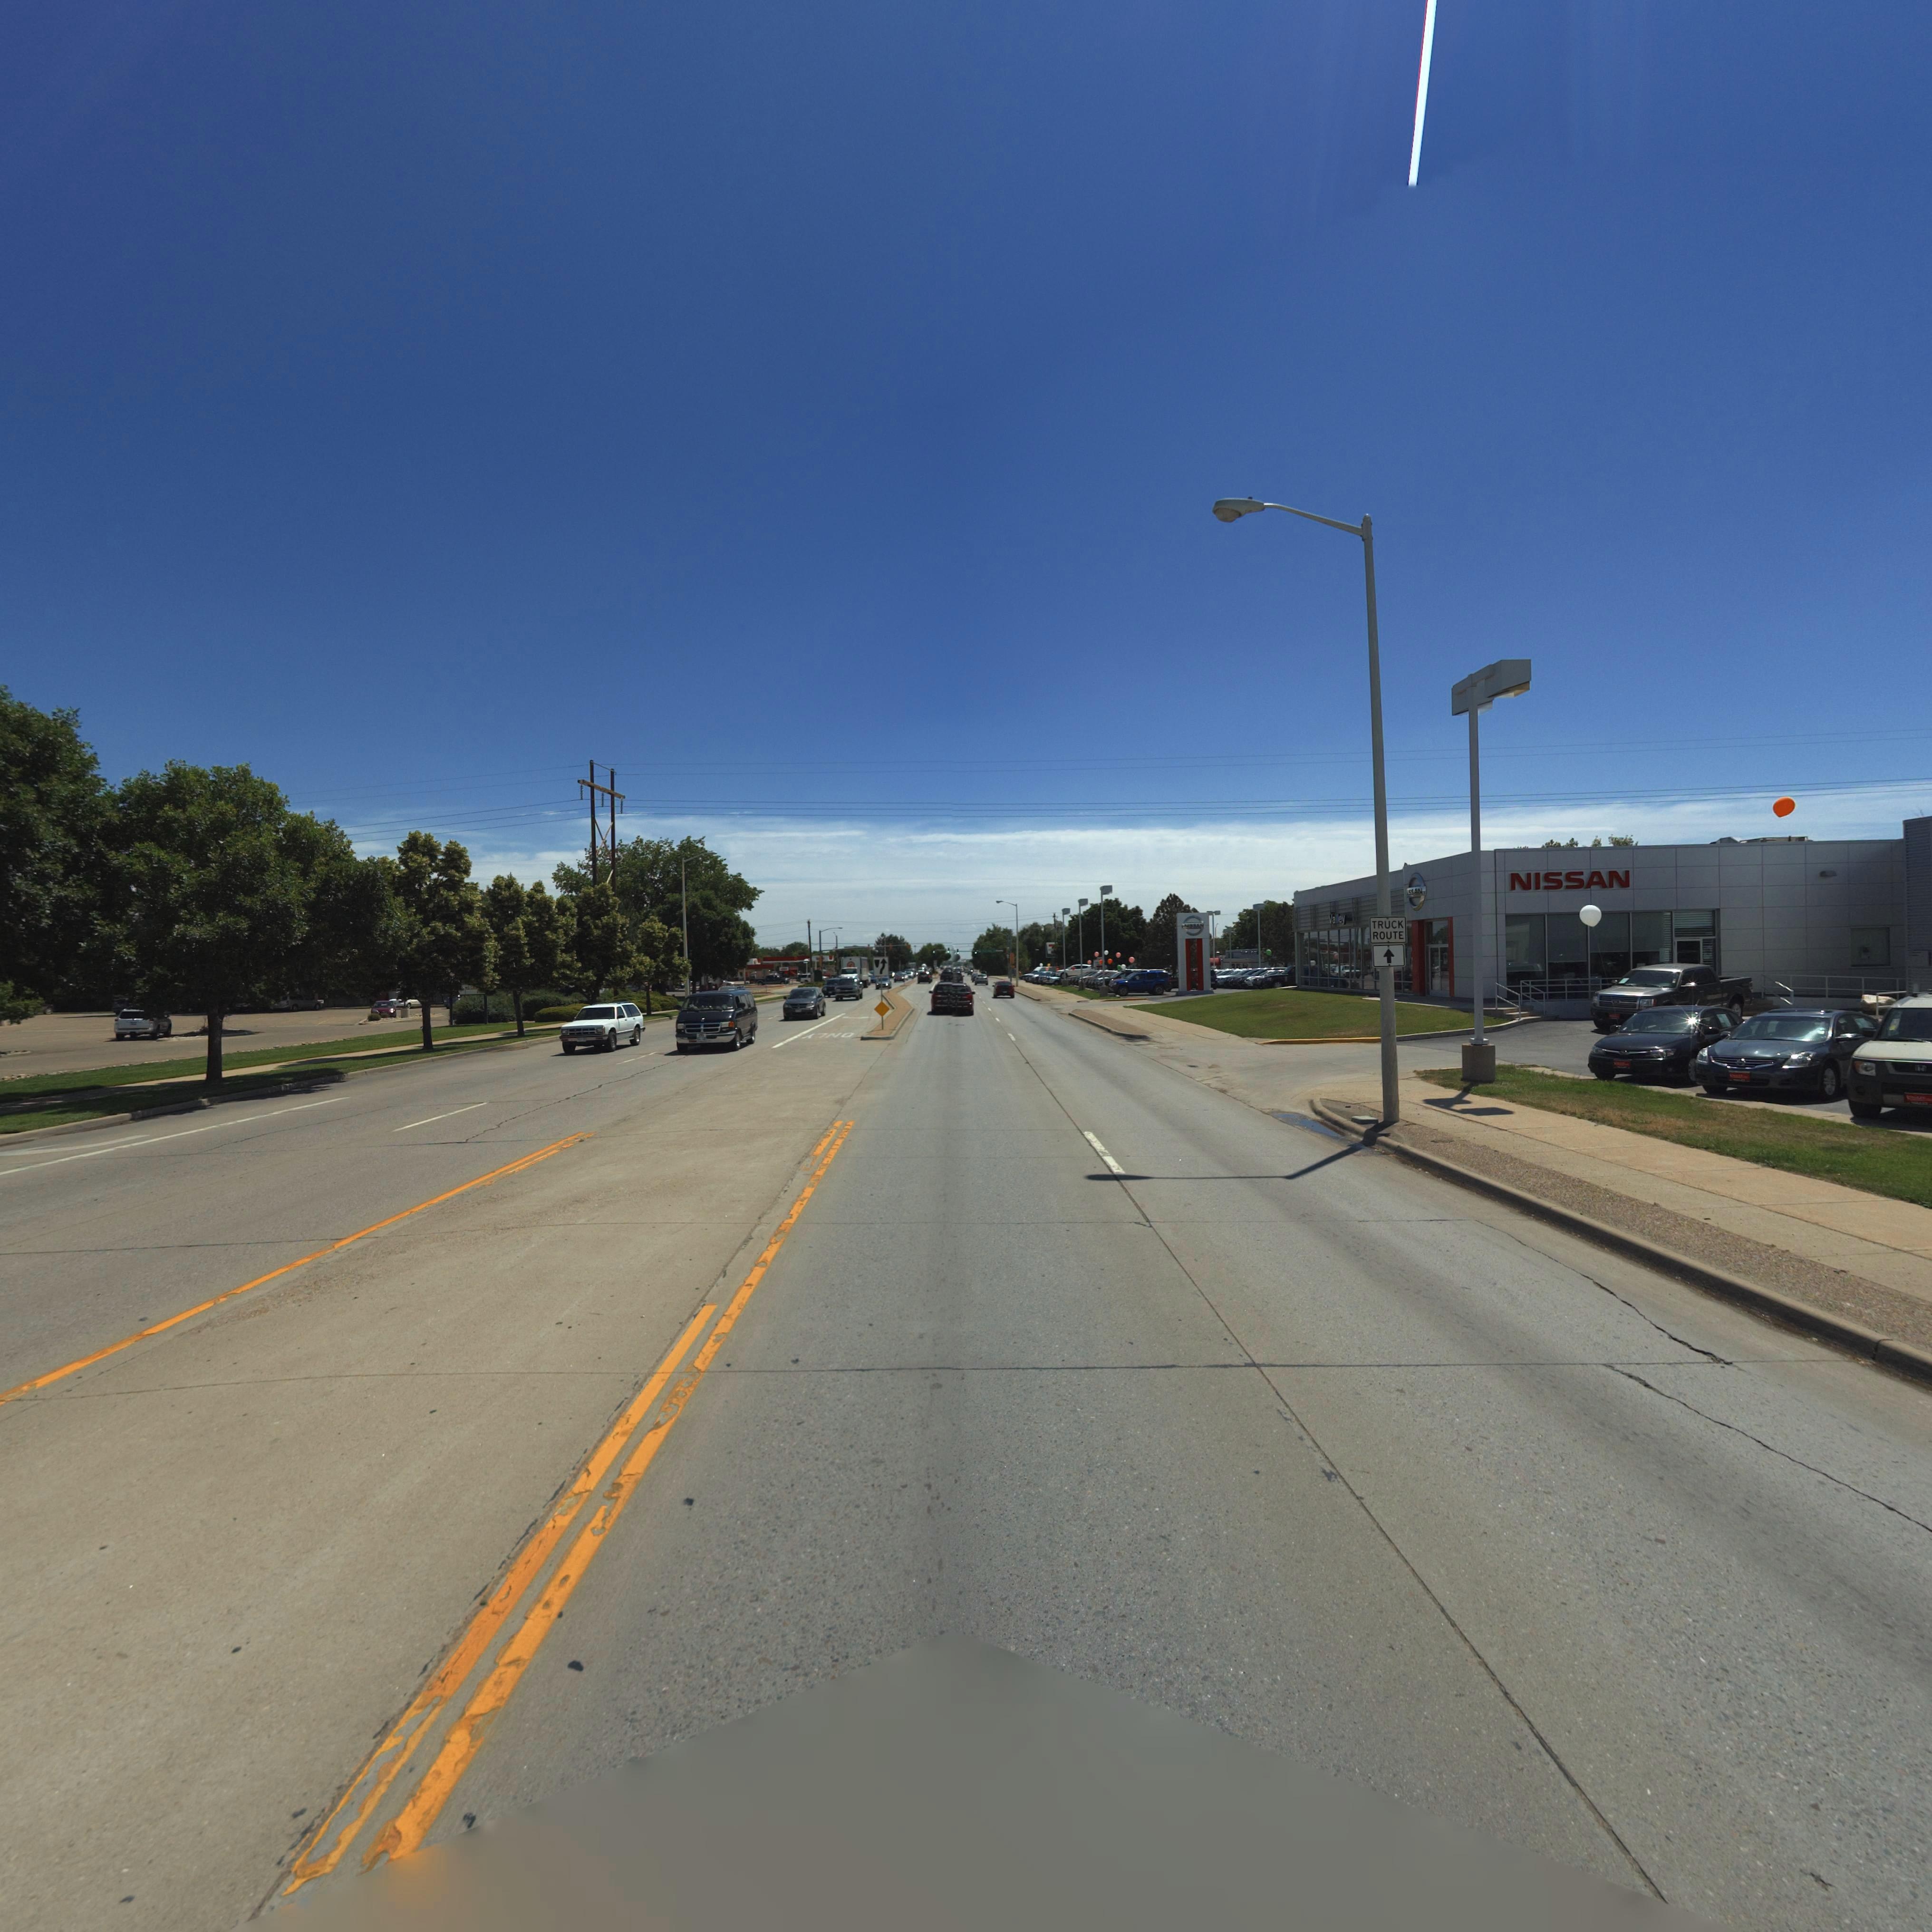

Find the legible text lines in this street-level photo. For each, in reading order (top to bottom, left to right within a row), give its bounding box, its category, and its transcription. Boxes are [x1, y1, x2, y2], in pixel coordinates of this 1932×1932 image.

[1510, 869, 1630, 891] BusinessName: NISSAN
[1408, 887, 1422, 895] BusinessName: SSAN
[1328, 913, 1345, 925] BusinessName: Valley
[1184, 923, 1204, 928] BusinessName: N*SS*N
[1048, 944, 1055, 953] BusinessName: 7